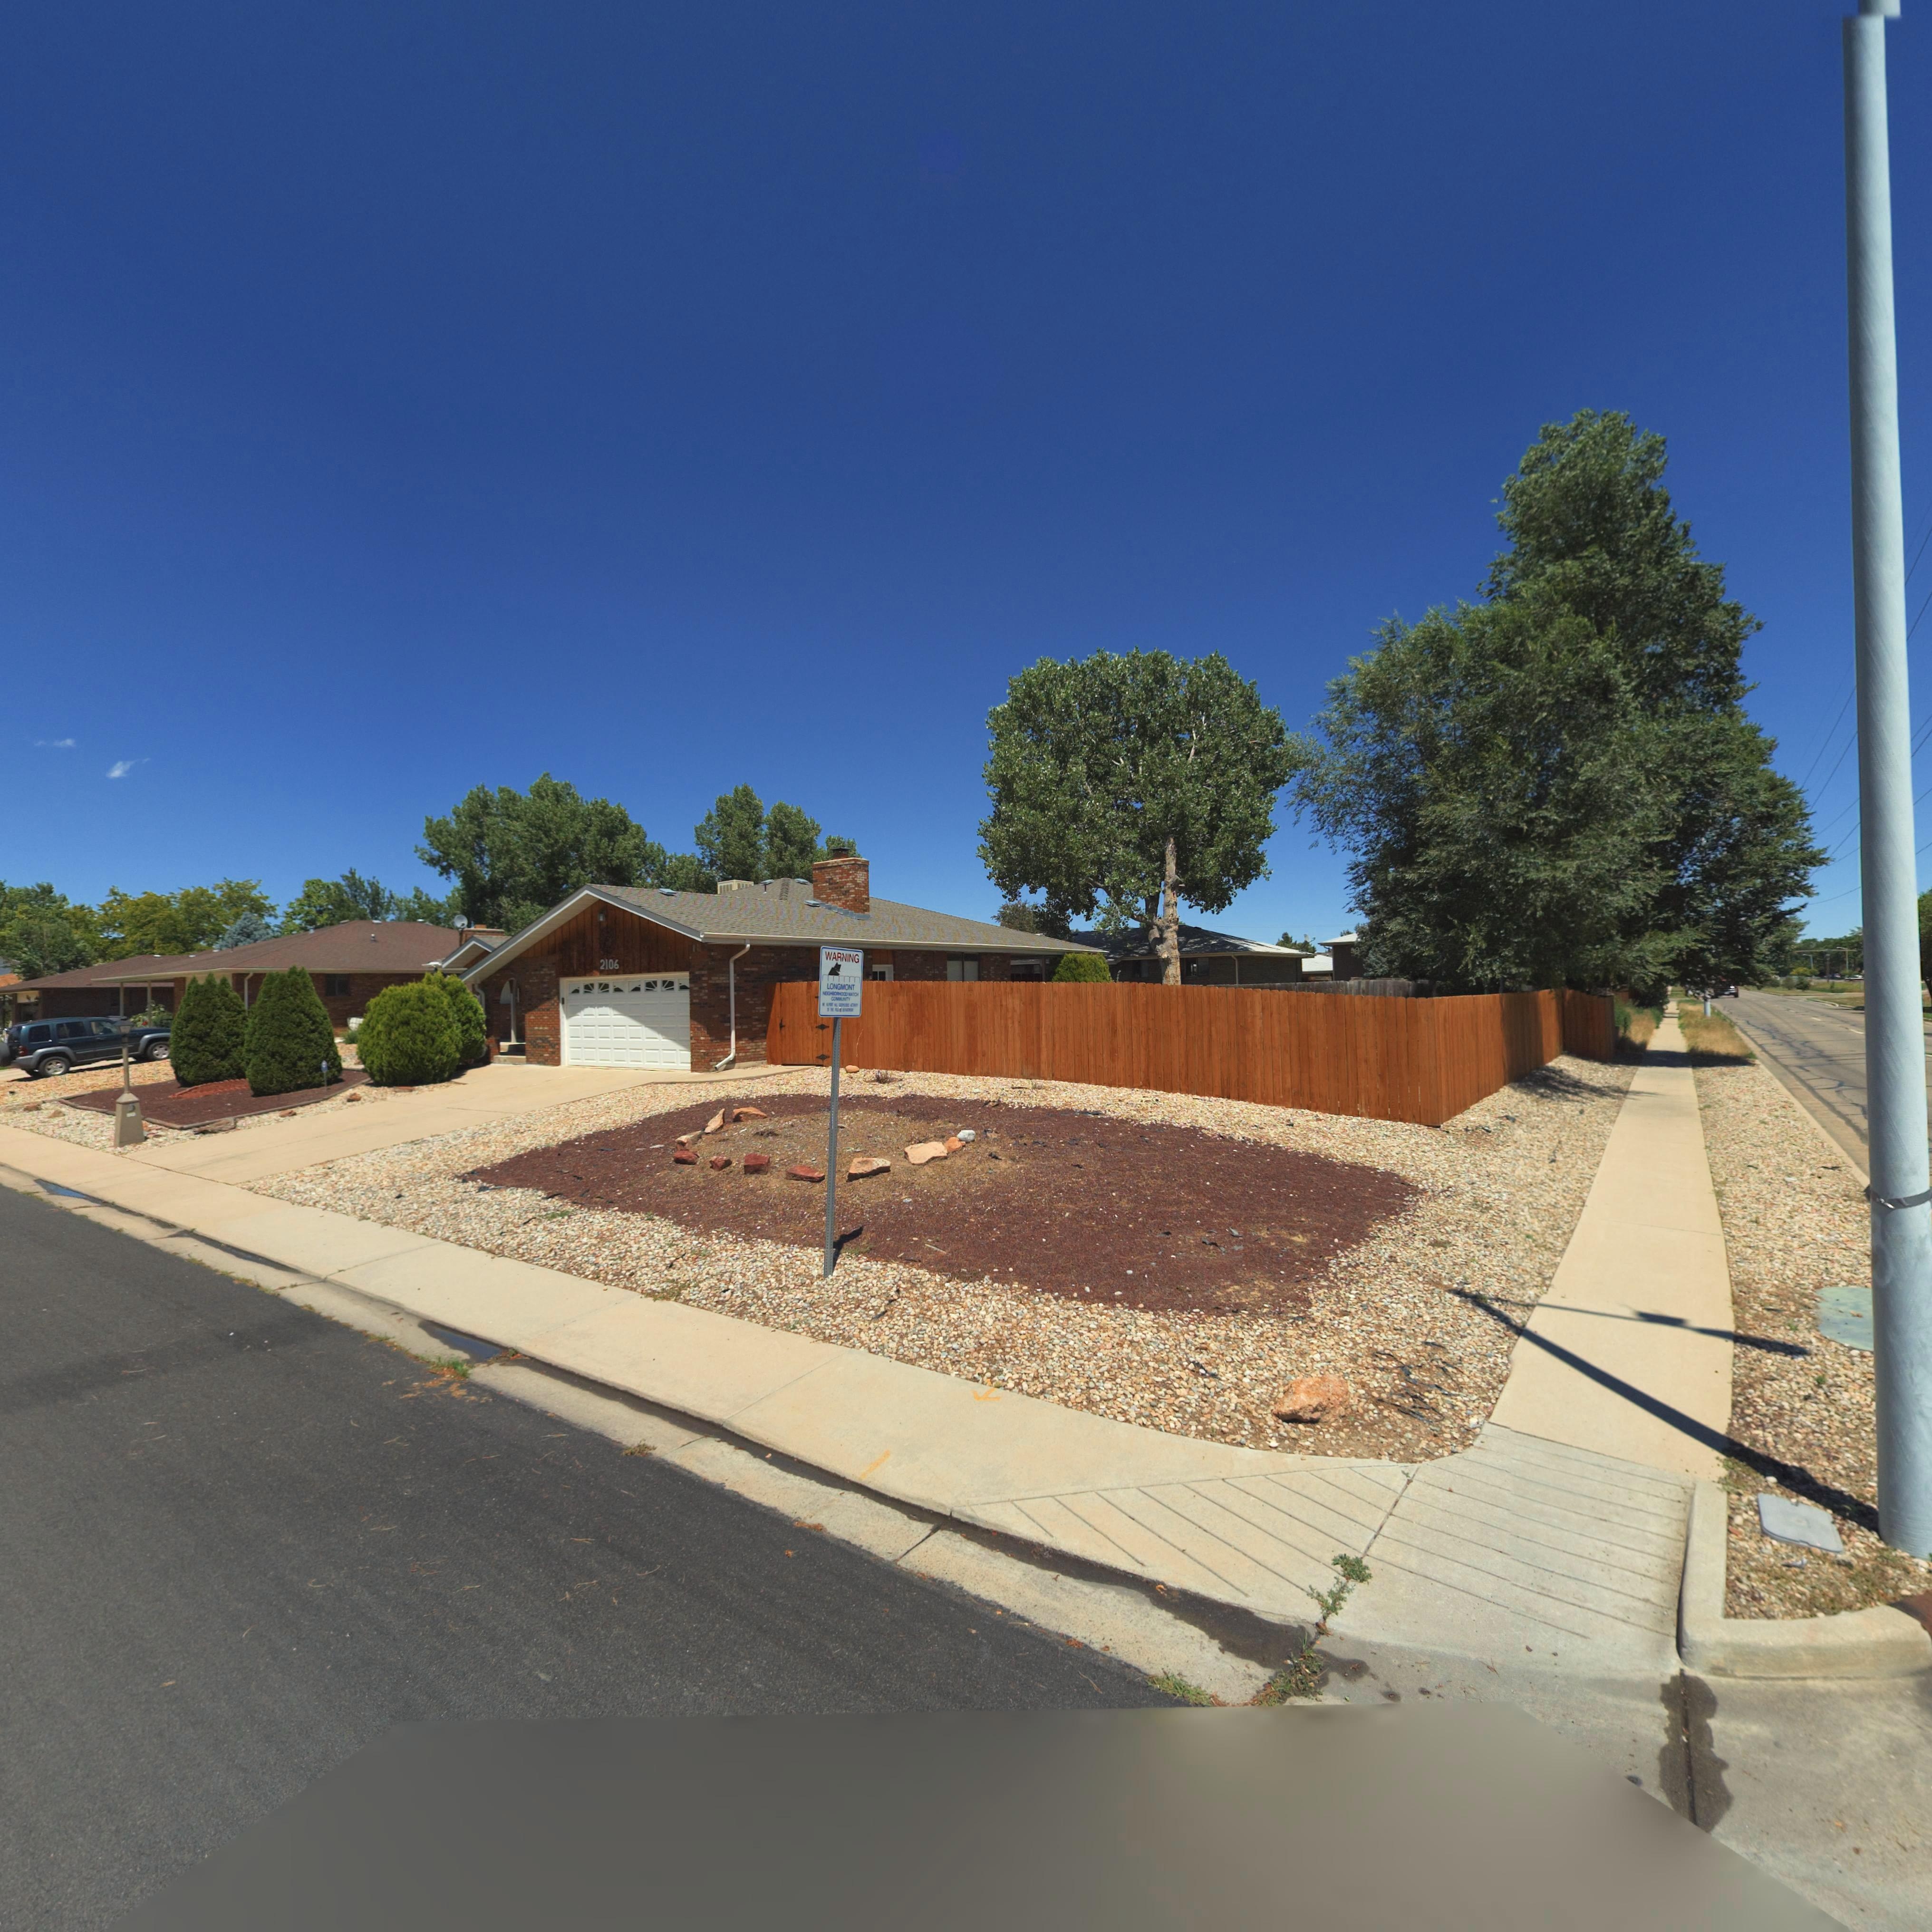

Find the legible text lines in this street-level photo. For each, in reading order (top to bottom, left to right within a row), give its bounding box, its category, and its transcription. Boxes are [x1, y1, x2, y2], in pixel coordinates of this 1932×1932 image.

[599, 959, 619, 970] StreetNumber: 2106